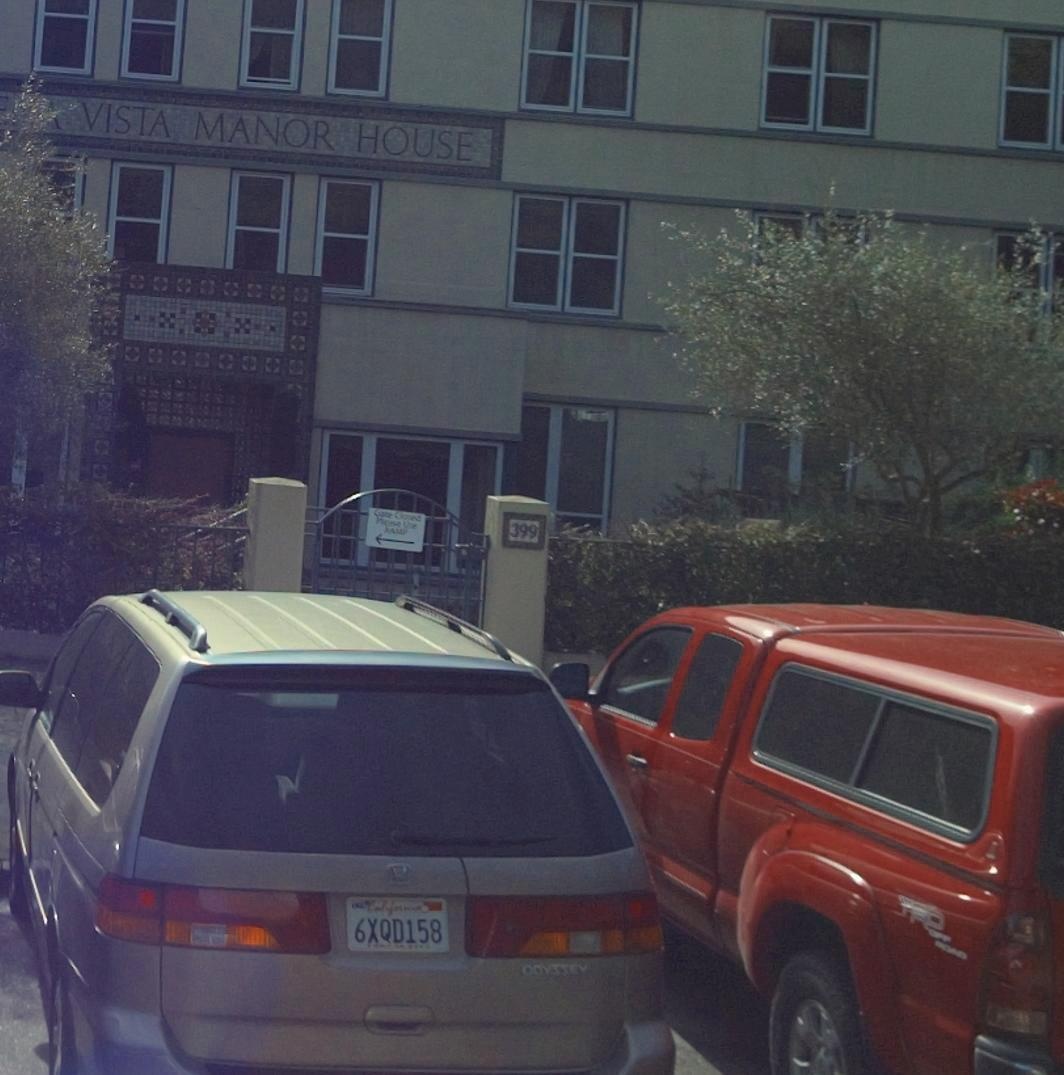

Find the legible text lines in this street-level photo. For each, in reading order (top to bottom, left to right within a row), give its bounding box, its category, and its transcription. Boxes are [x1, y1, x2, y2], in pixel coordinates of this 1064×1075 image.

[78, 96, 480, 165] None: VISTA MANOR HOUSE
[509, 521, 537, 539] StreetNumber: 399
[351, 917, 444, 945] None: 6XQD158
[522, 963, 589, 978] None: ODYSSEY